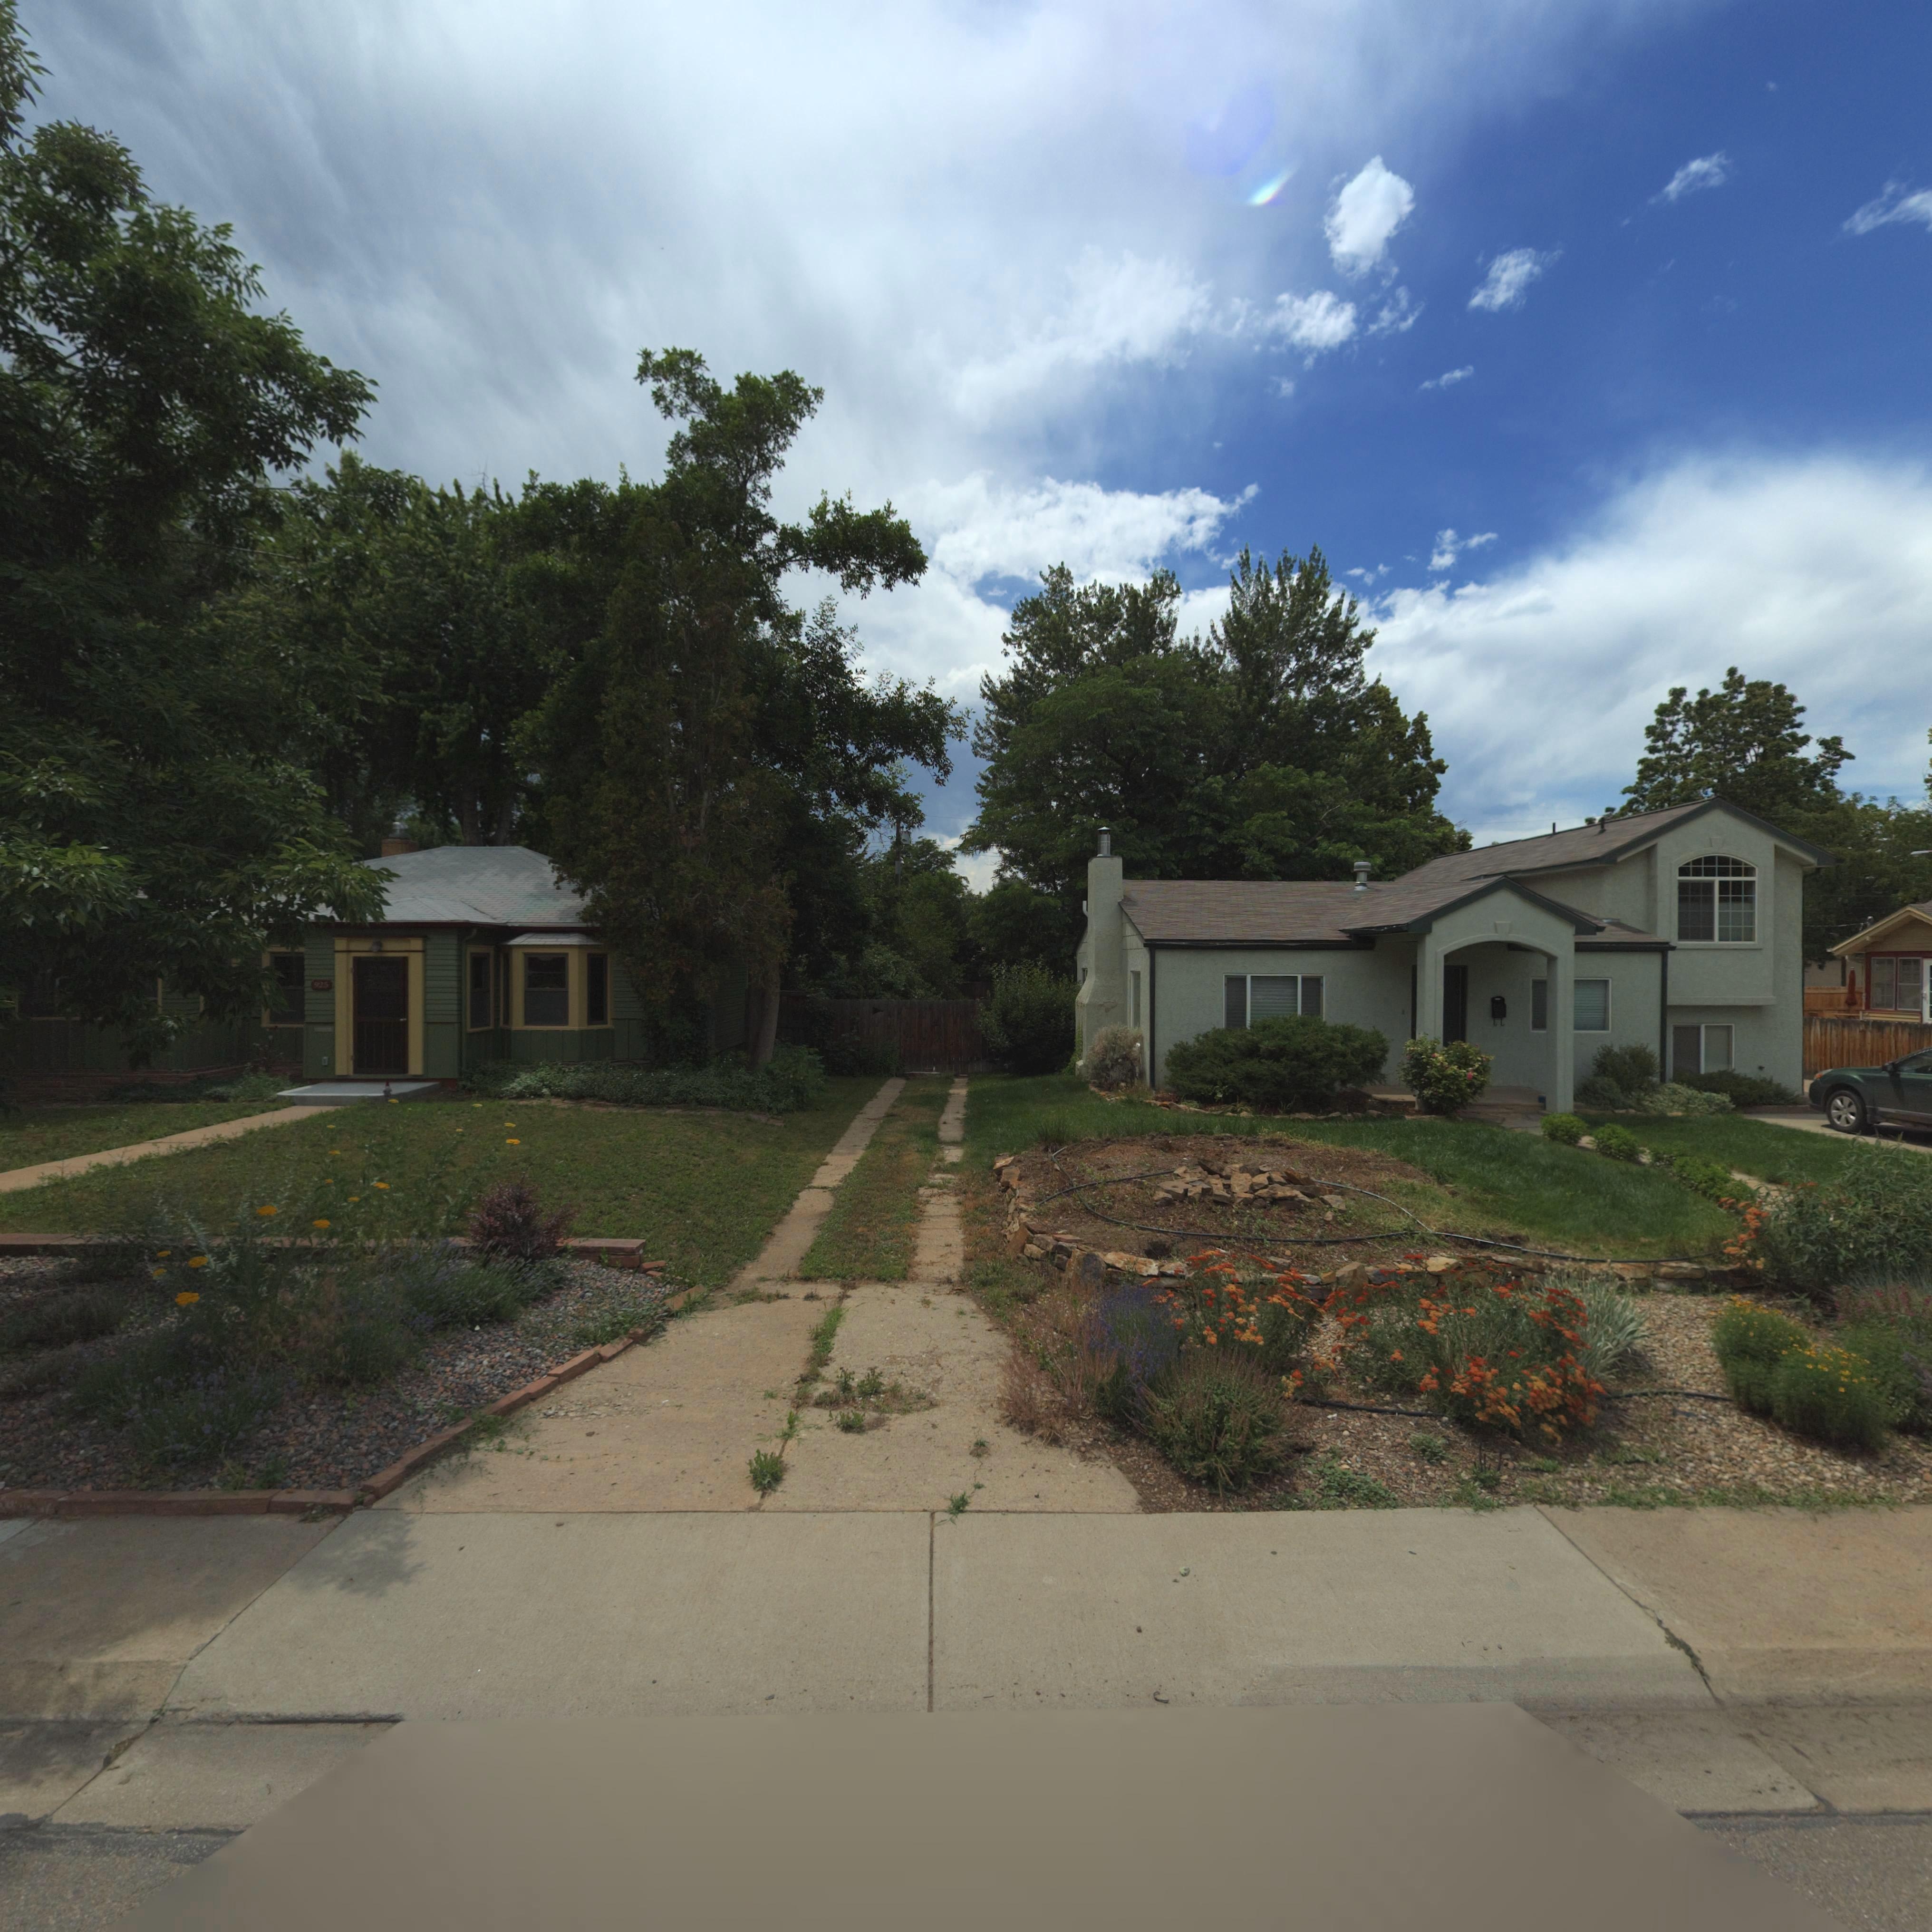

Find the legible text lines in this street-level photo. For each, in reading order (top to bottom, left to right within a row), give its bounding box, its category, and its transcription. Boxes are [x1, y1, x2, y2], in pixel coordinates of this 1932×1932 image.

[312, 981, 329, 989] StreetNumber: 925